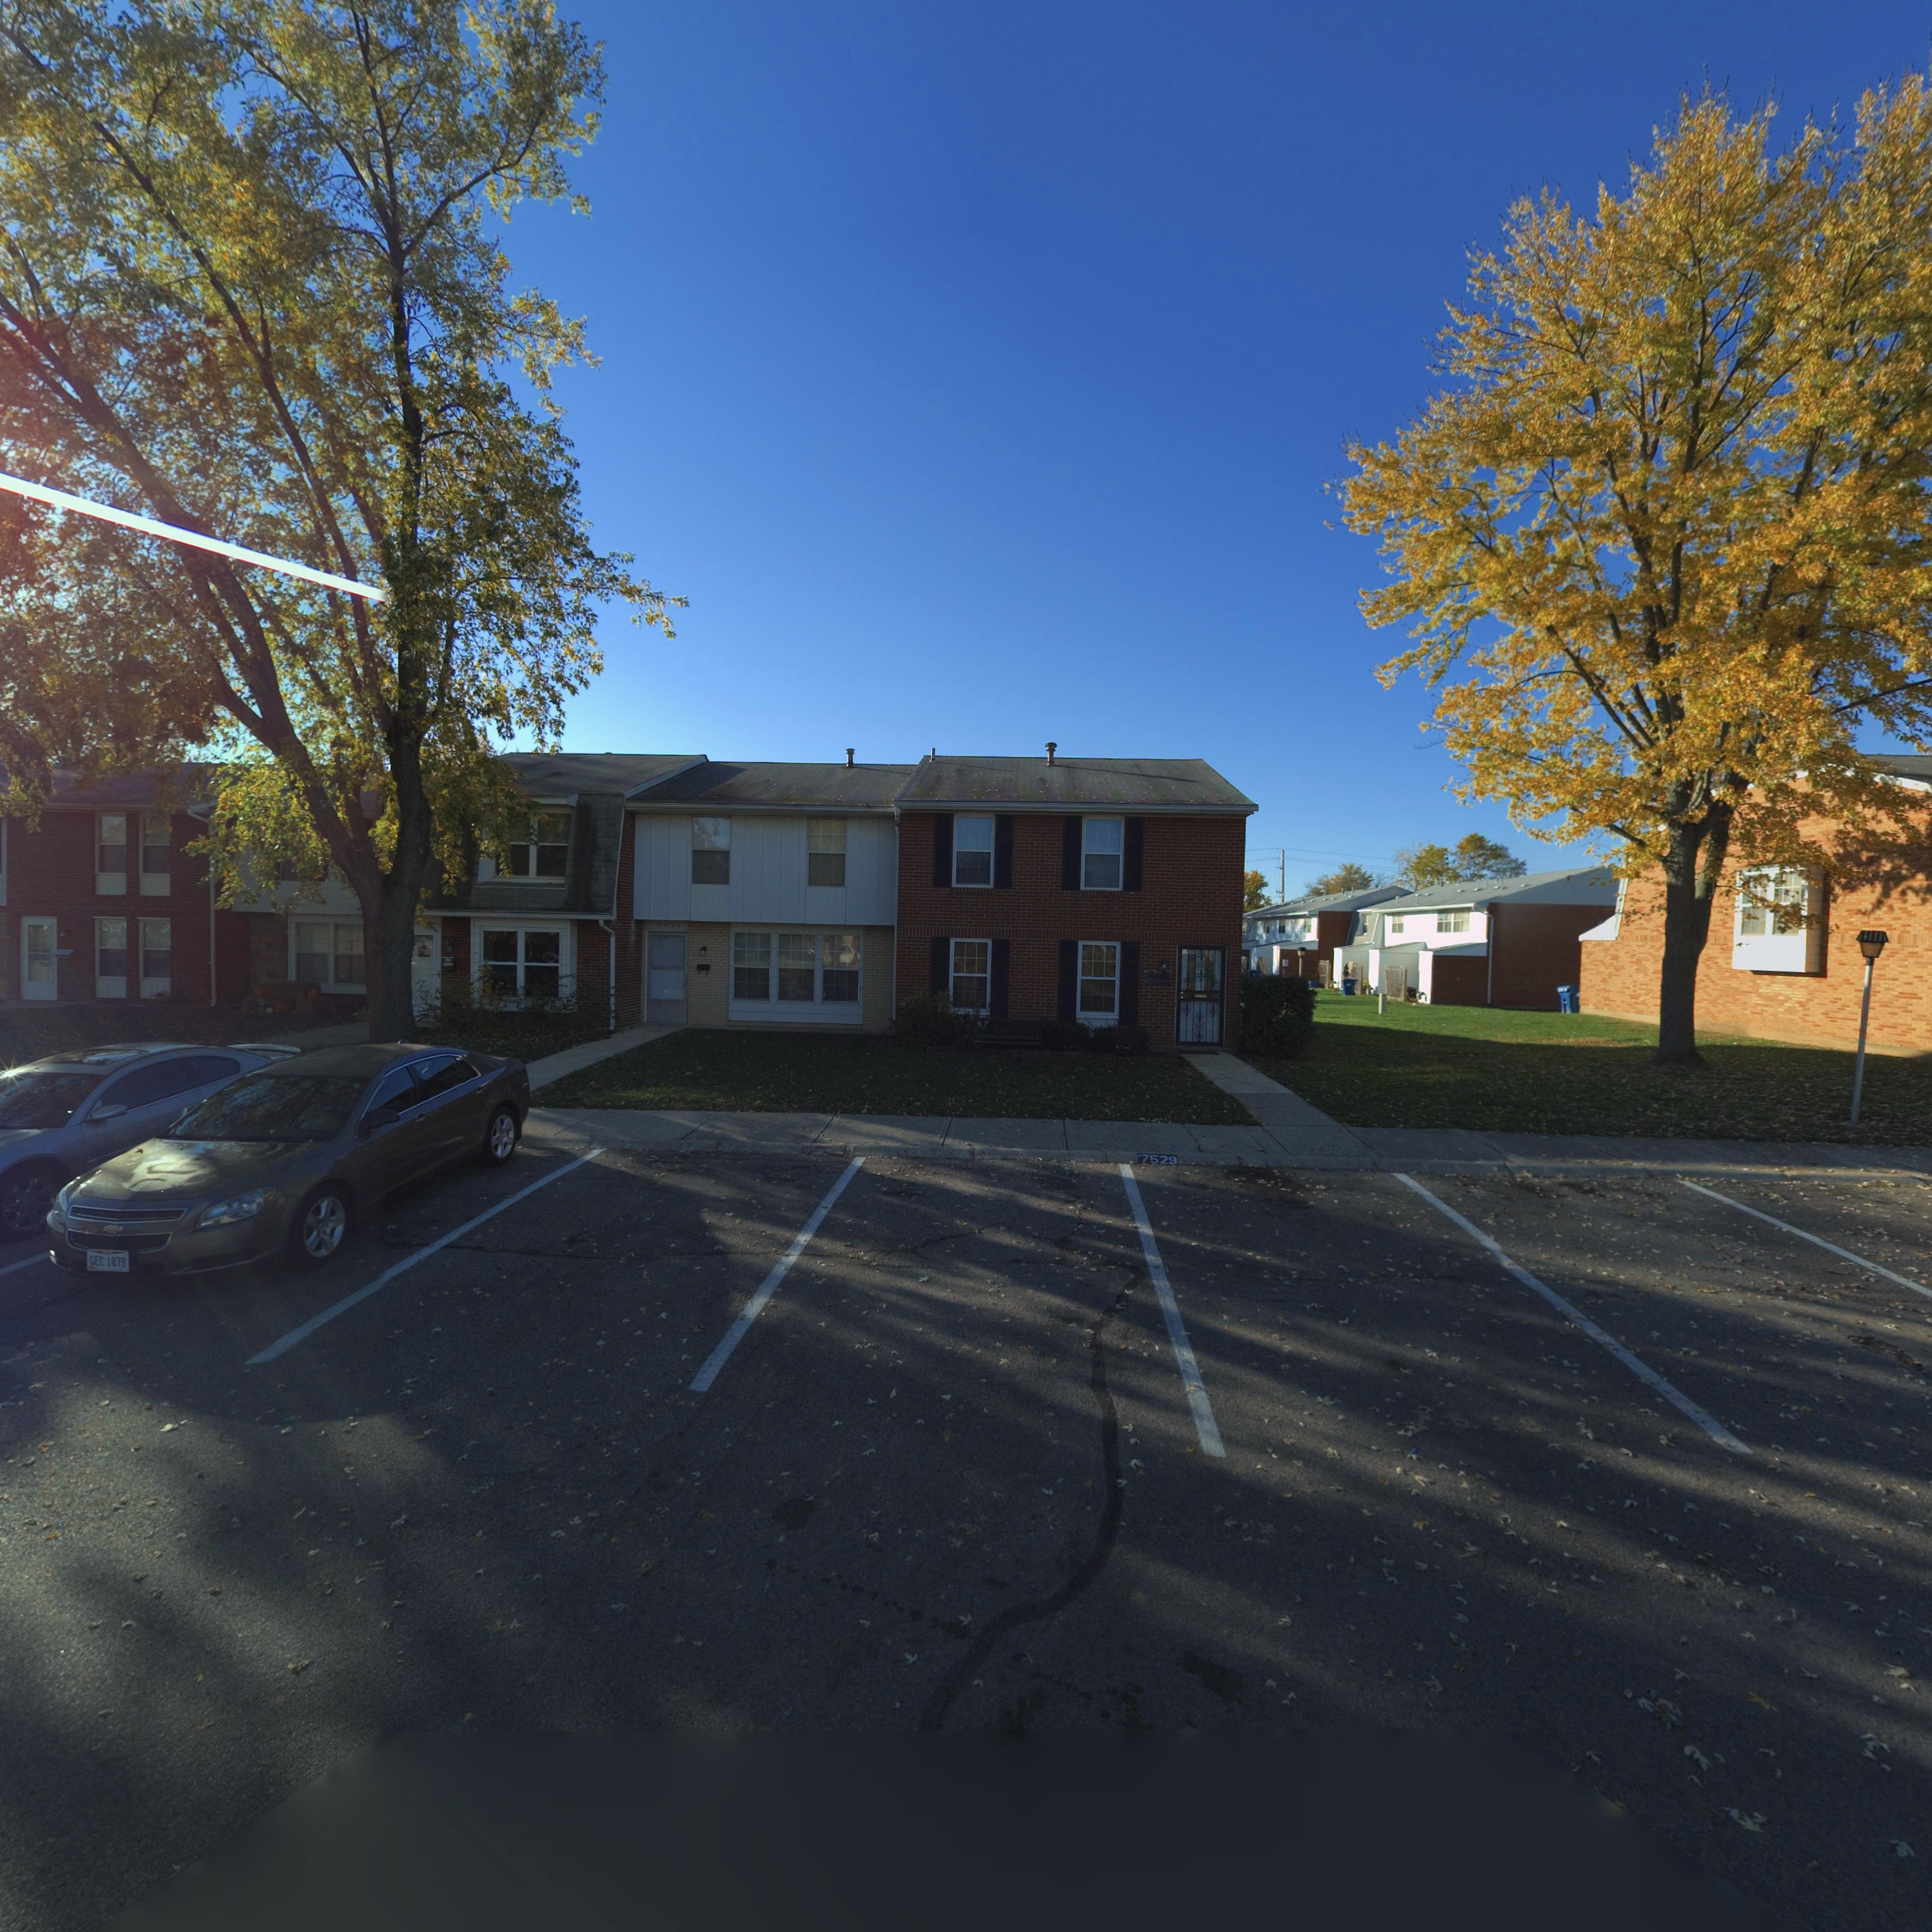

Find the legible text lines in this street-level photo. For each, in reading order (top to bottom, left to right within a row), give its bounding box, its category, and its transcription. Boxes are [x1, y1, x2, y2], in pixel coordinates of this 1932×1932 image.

[657, 922, 682, 928] StreetNumber: 7827
[444, 963, 453, 966] StreetNumber: 7**5
[1145, 972, 1170, 981] StreetNumber: 7**9
[1138, 1154, 1178, 1165] StreetNumber: 7529